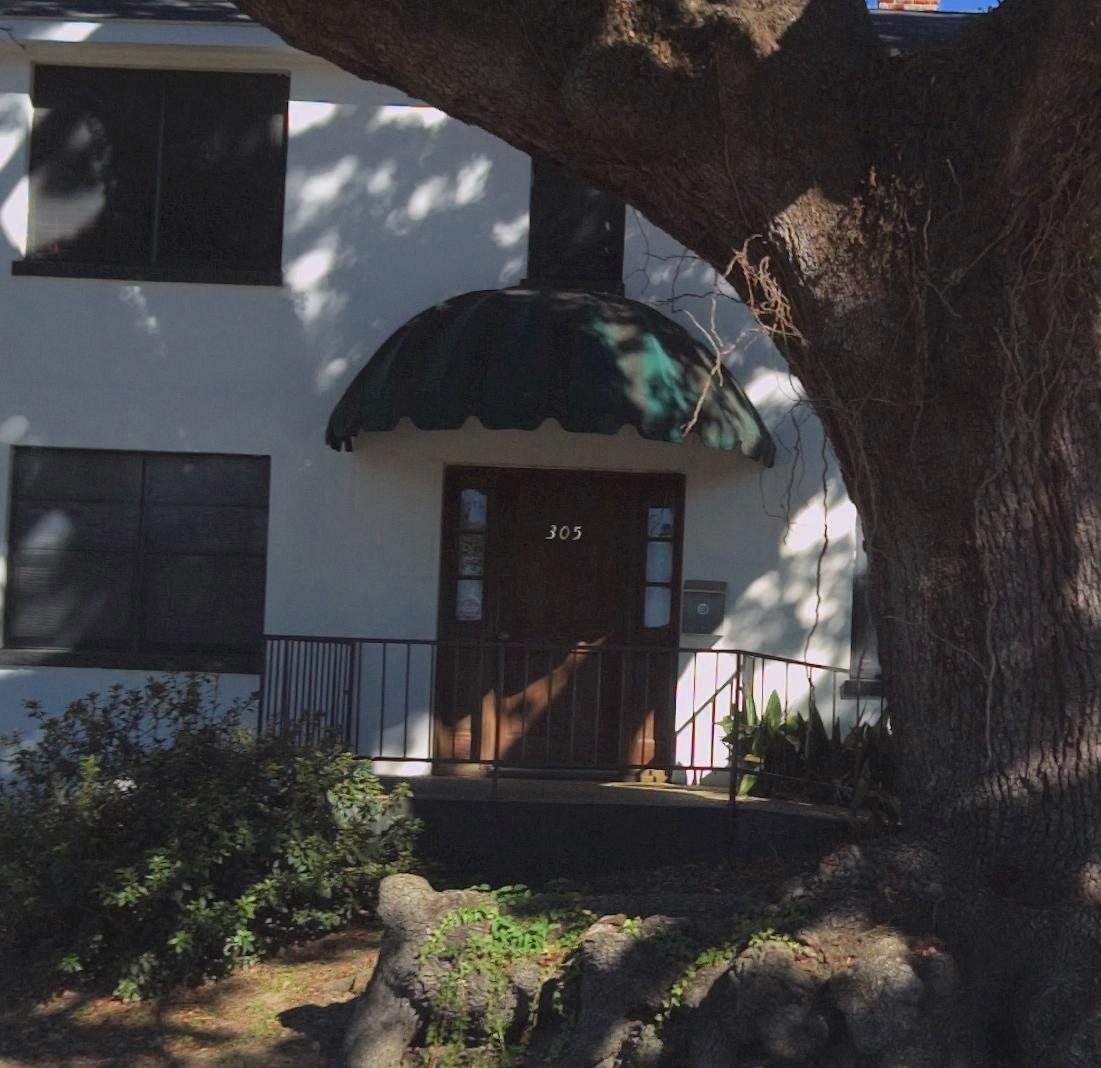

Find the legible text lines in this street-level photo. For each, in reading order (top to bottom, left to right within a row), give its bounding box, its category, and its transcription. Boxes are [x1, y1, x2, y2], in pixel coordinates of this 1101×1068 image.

[542, 522, 585, 543] StreetNumber: 305